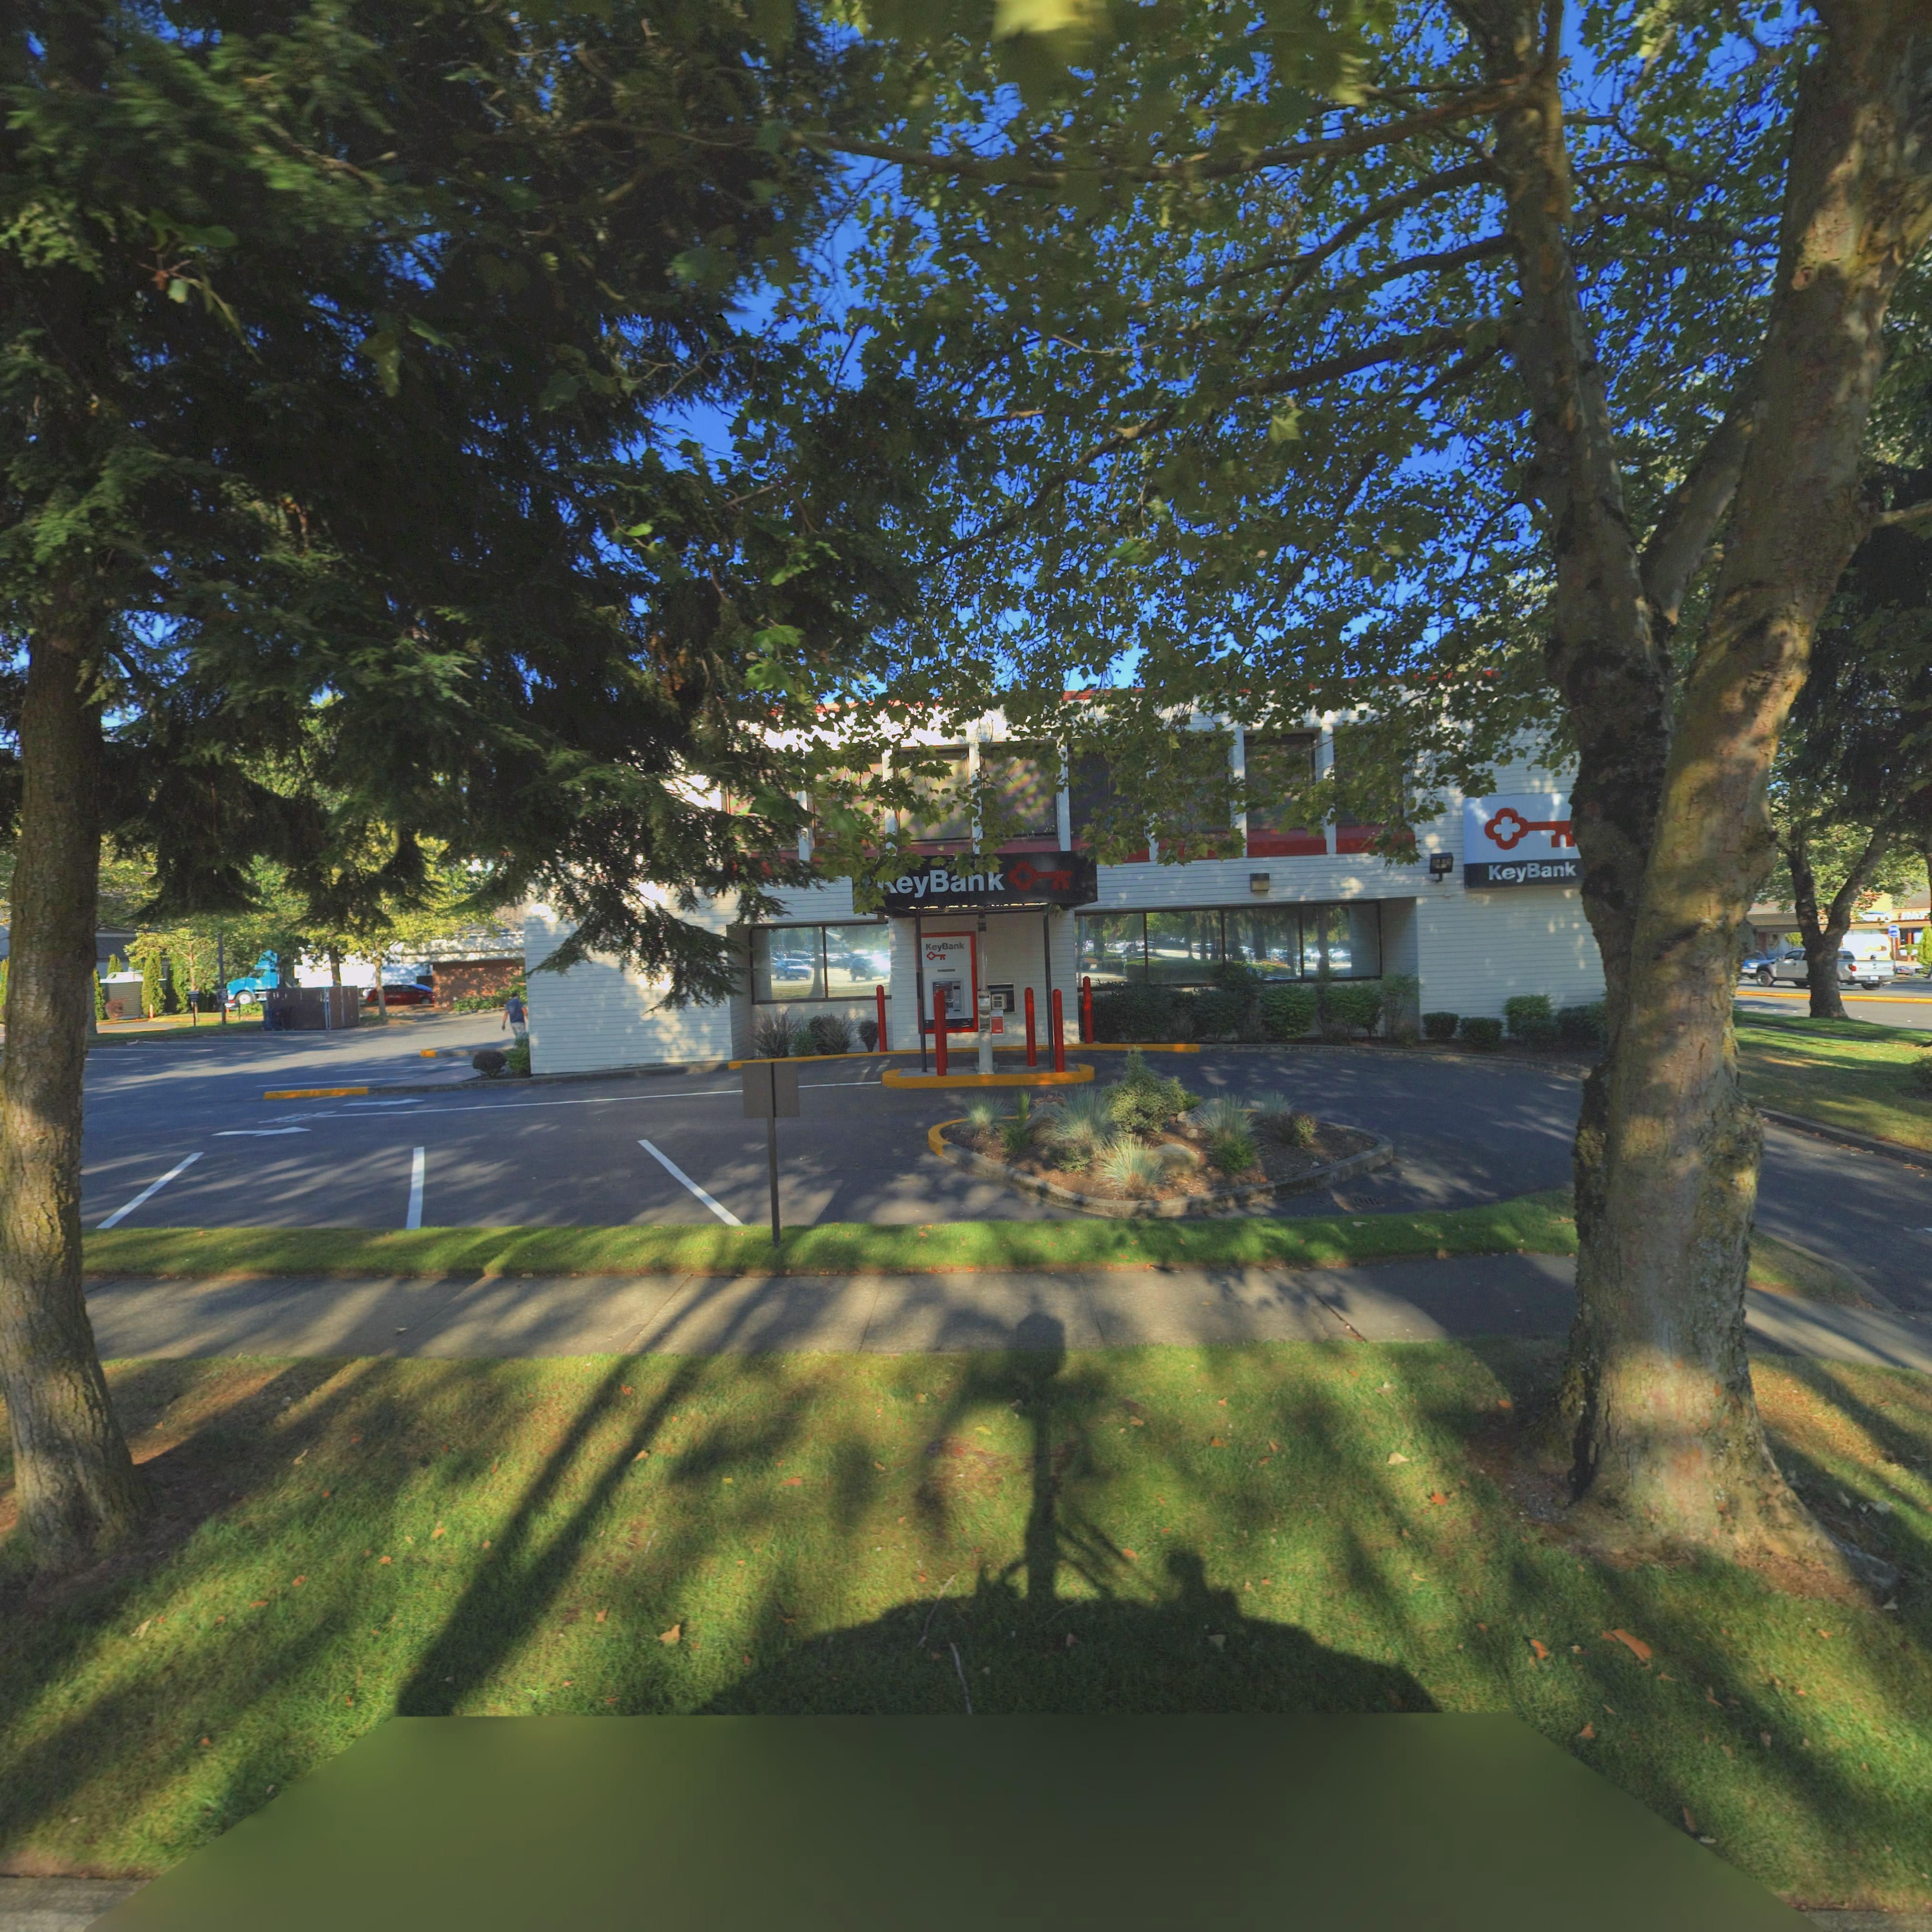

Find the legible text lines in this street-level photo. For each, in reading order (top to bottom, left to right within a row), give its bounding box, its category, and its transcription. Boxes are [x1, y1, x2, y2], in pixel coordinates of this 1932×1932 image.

[873, 861, 1009, 904] BusinessName: KeyBank
[1487, 859, 1580, 886] BusinessName: KeyBank